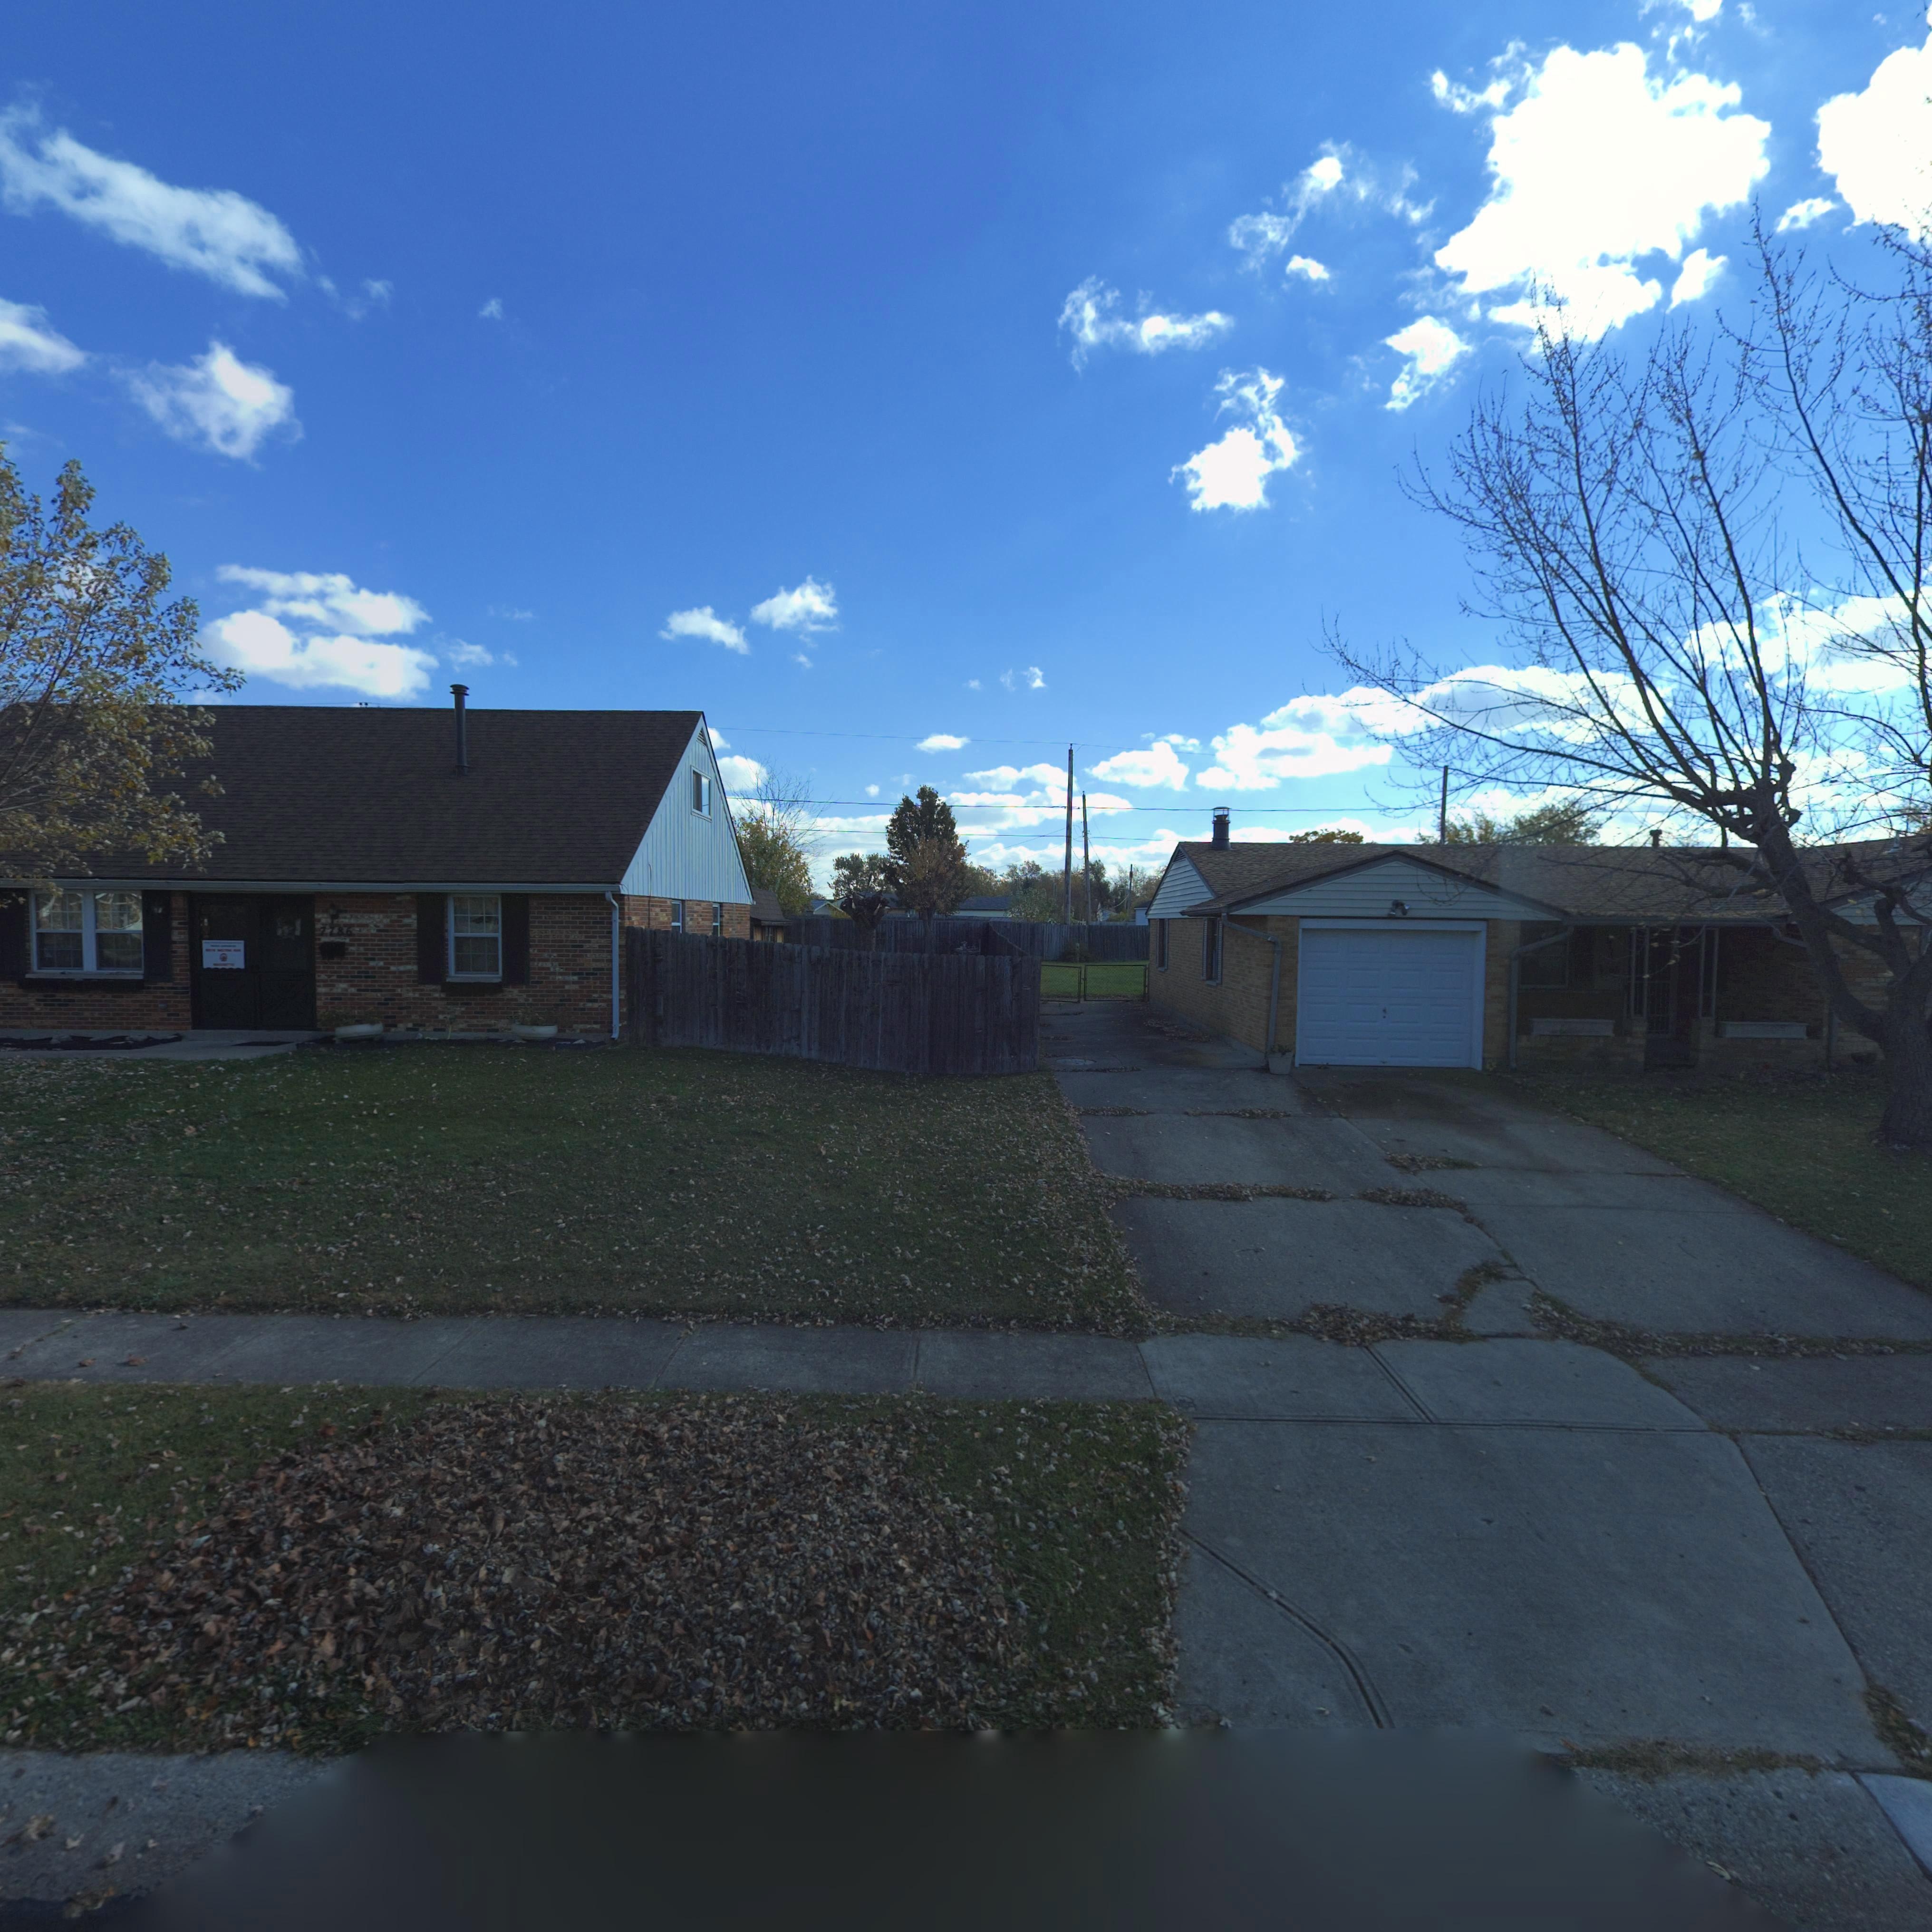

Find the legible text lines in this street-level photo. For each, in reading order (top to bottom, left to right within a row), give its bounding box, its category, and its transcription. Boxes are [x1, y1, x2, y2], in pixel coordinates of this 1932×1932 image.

[319, 926, 353, 937] StreetNumber: 7786
[1594, 964, 1621, 976] StreetNumber: 7*0*